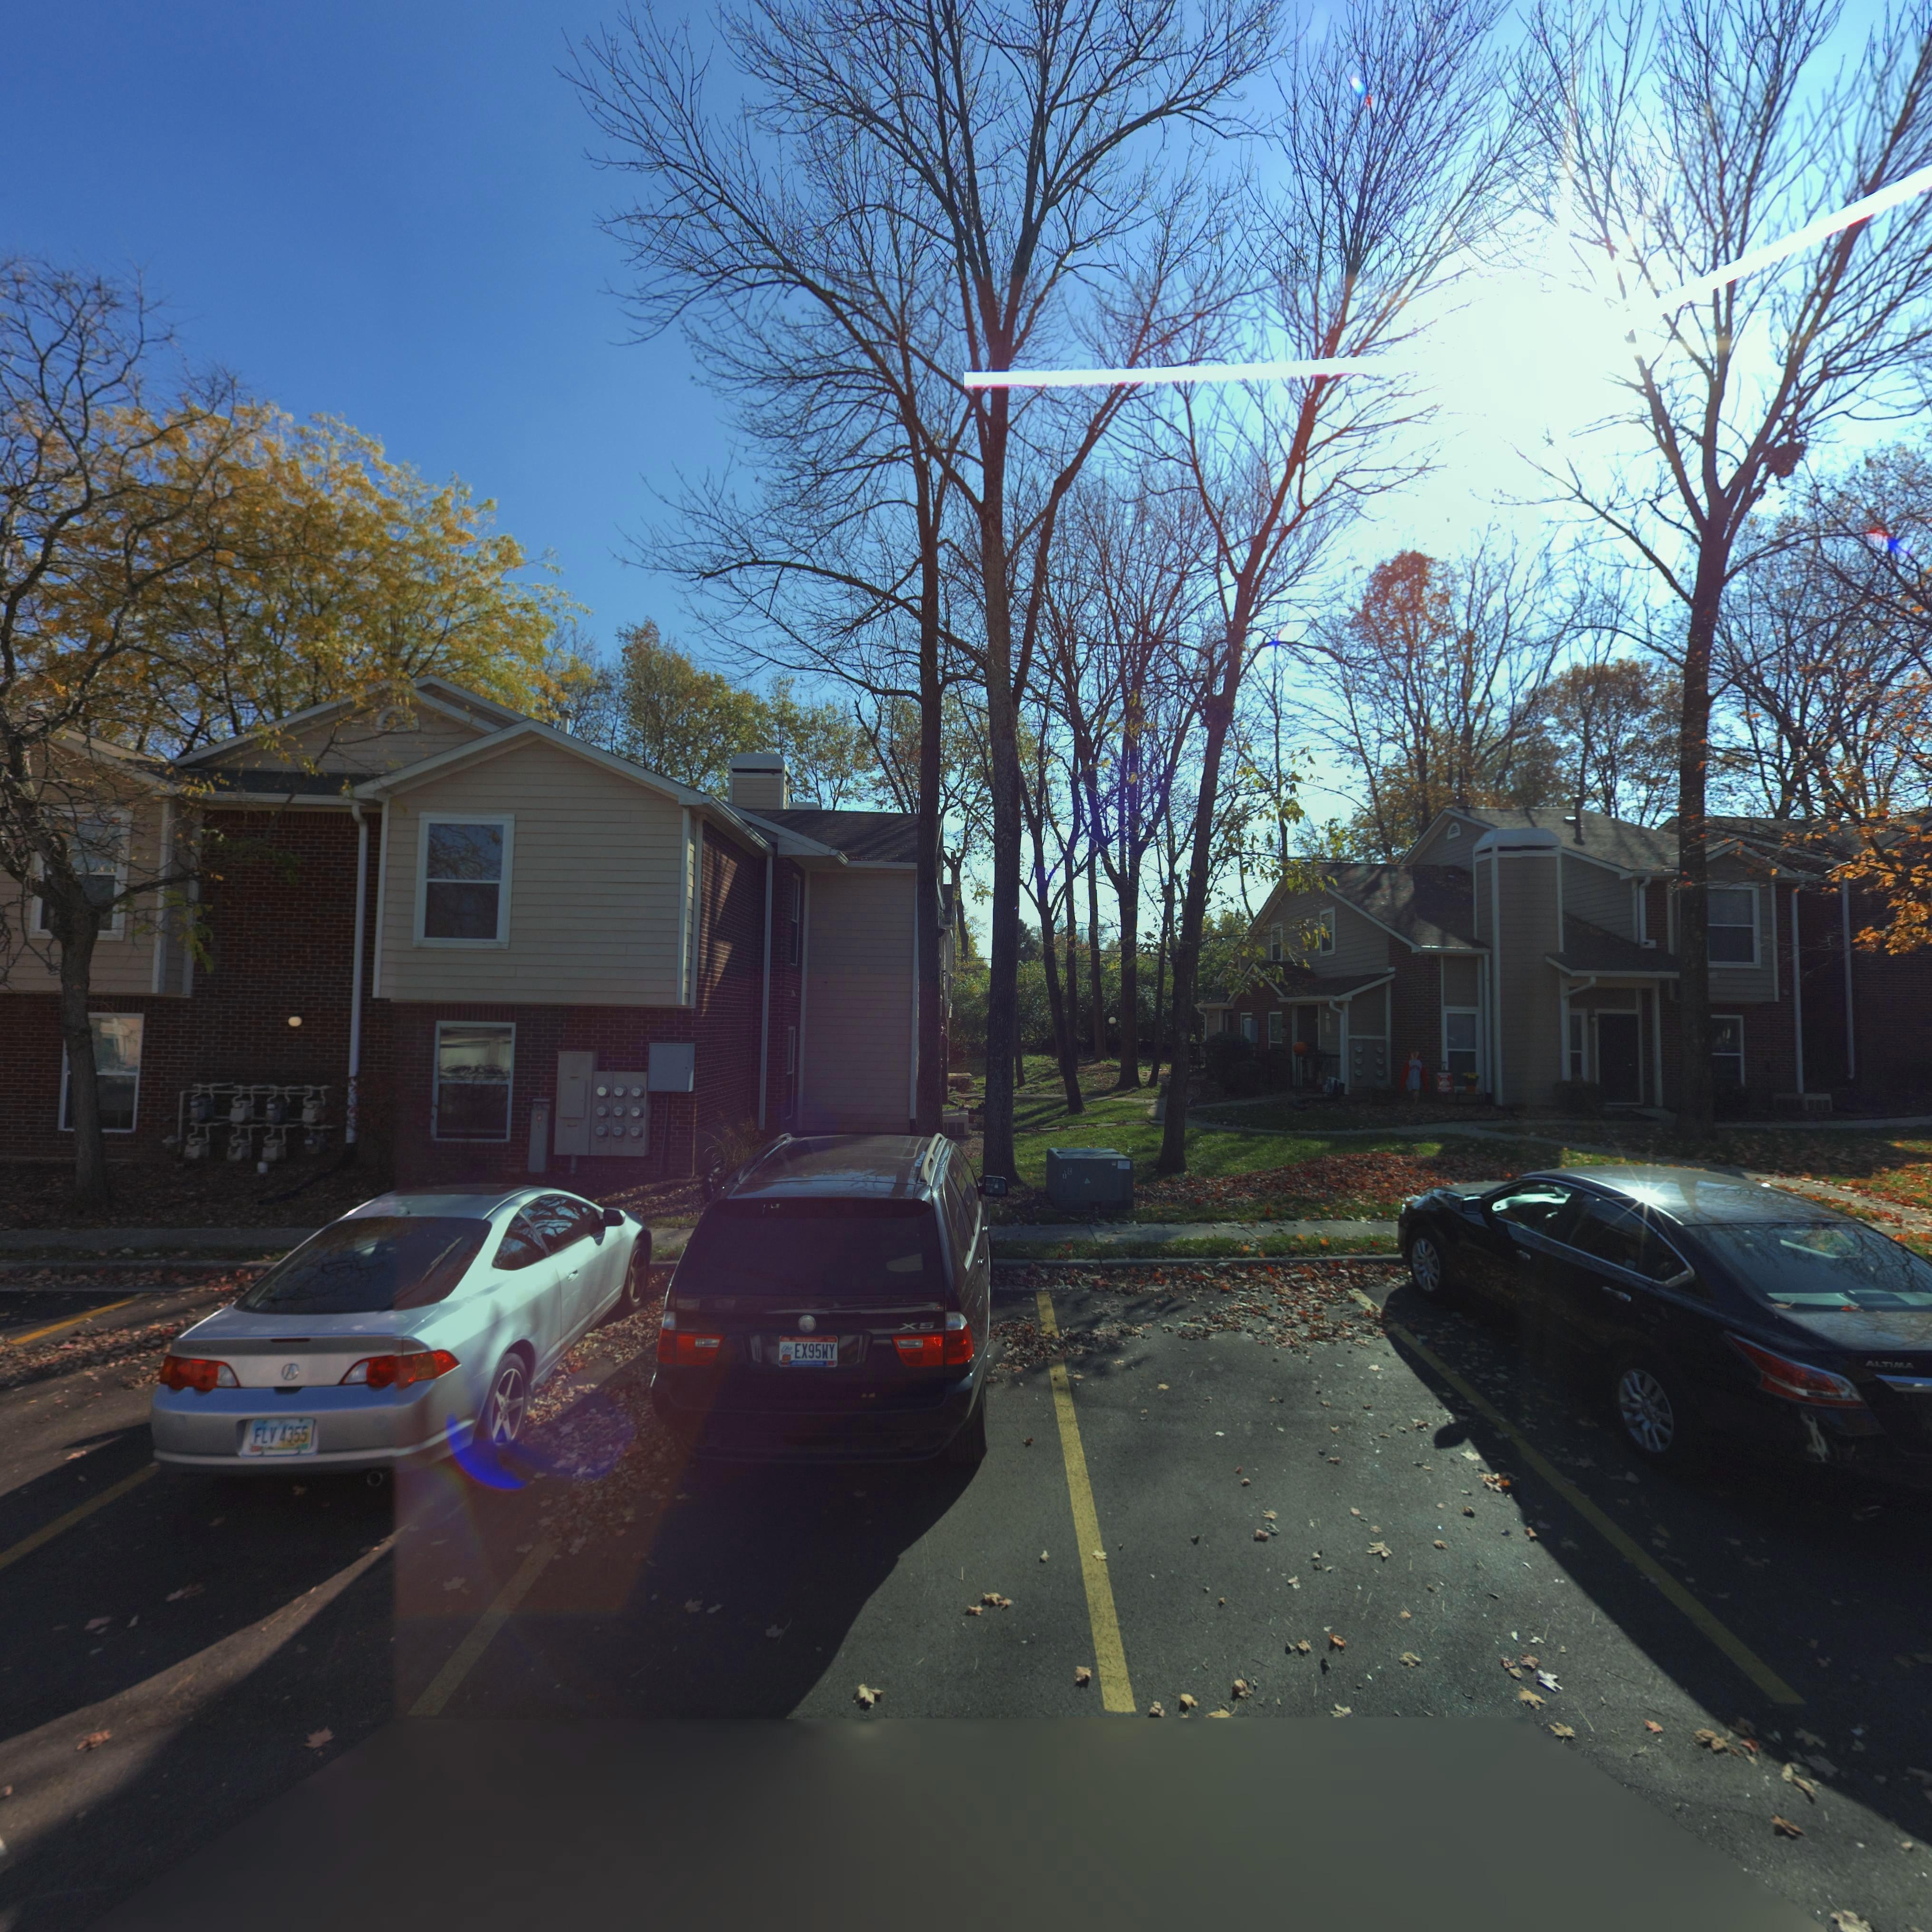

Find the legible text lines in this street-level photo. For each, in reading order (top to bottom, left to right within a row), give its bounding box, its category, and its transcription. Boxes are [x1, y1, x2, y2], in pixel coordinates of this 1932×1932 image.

[897, 1320, 937, 1332] None: X5
[794, 1342, 836, 1360] None: EX95WY
[1864, 1360, 1916, 1370] None: ALTIMA
[251, 1424, 310, 1445] None: FLV 4355